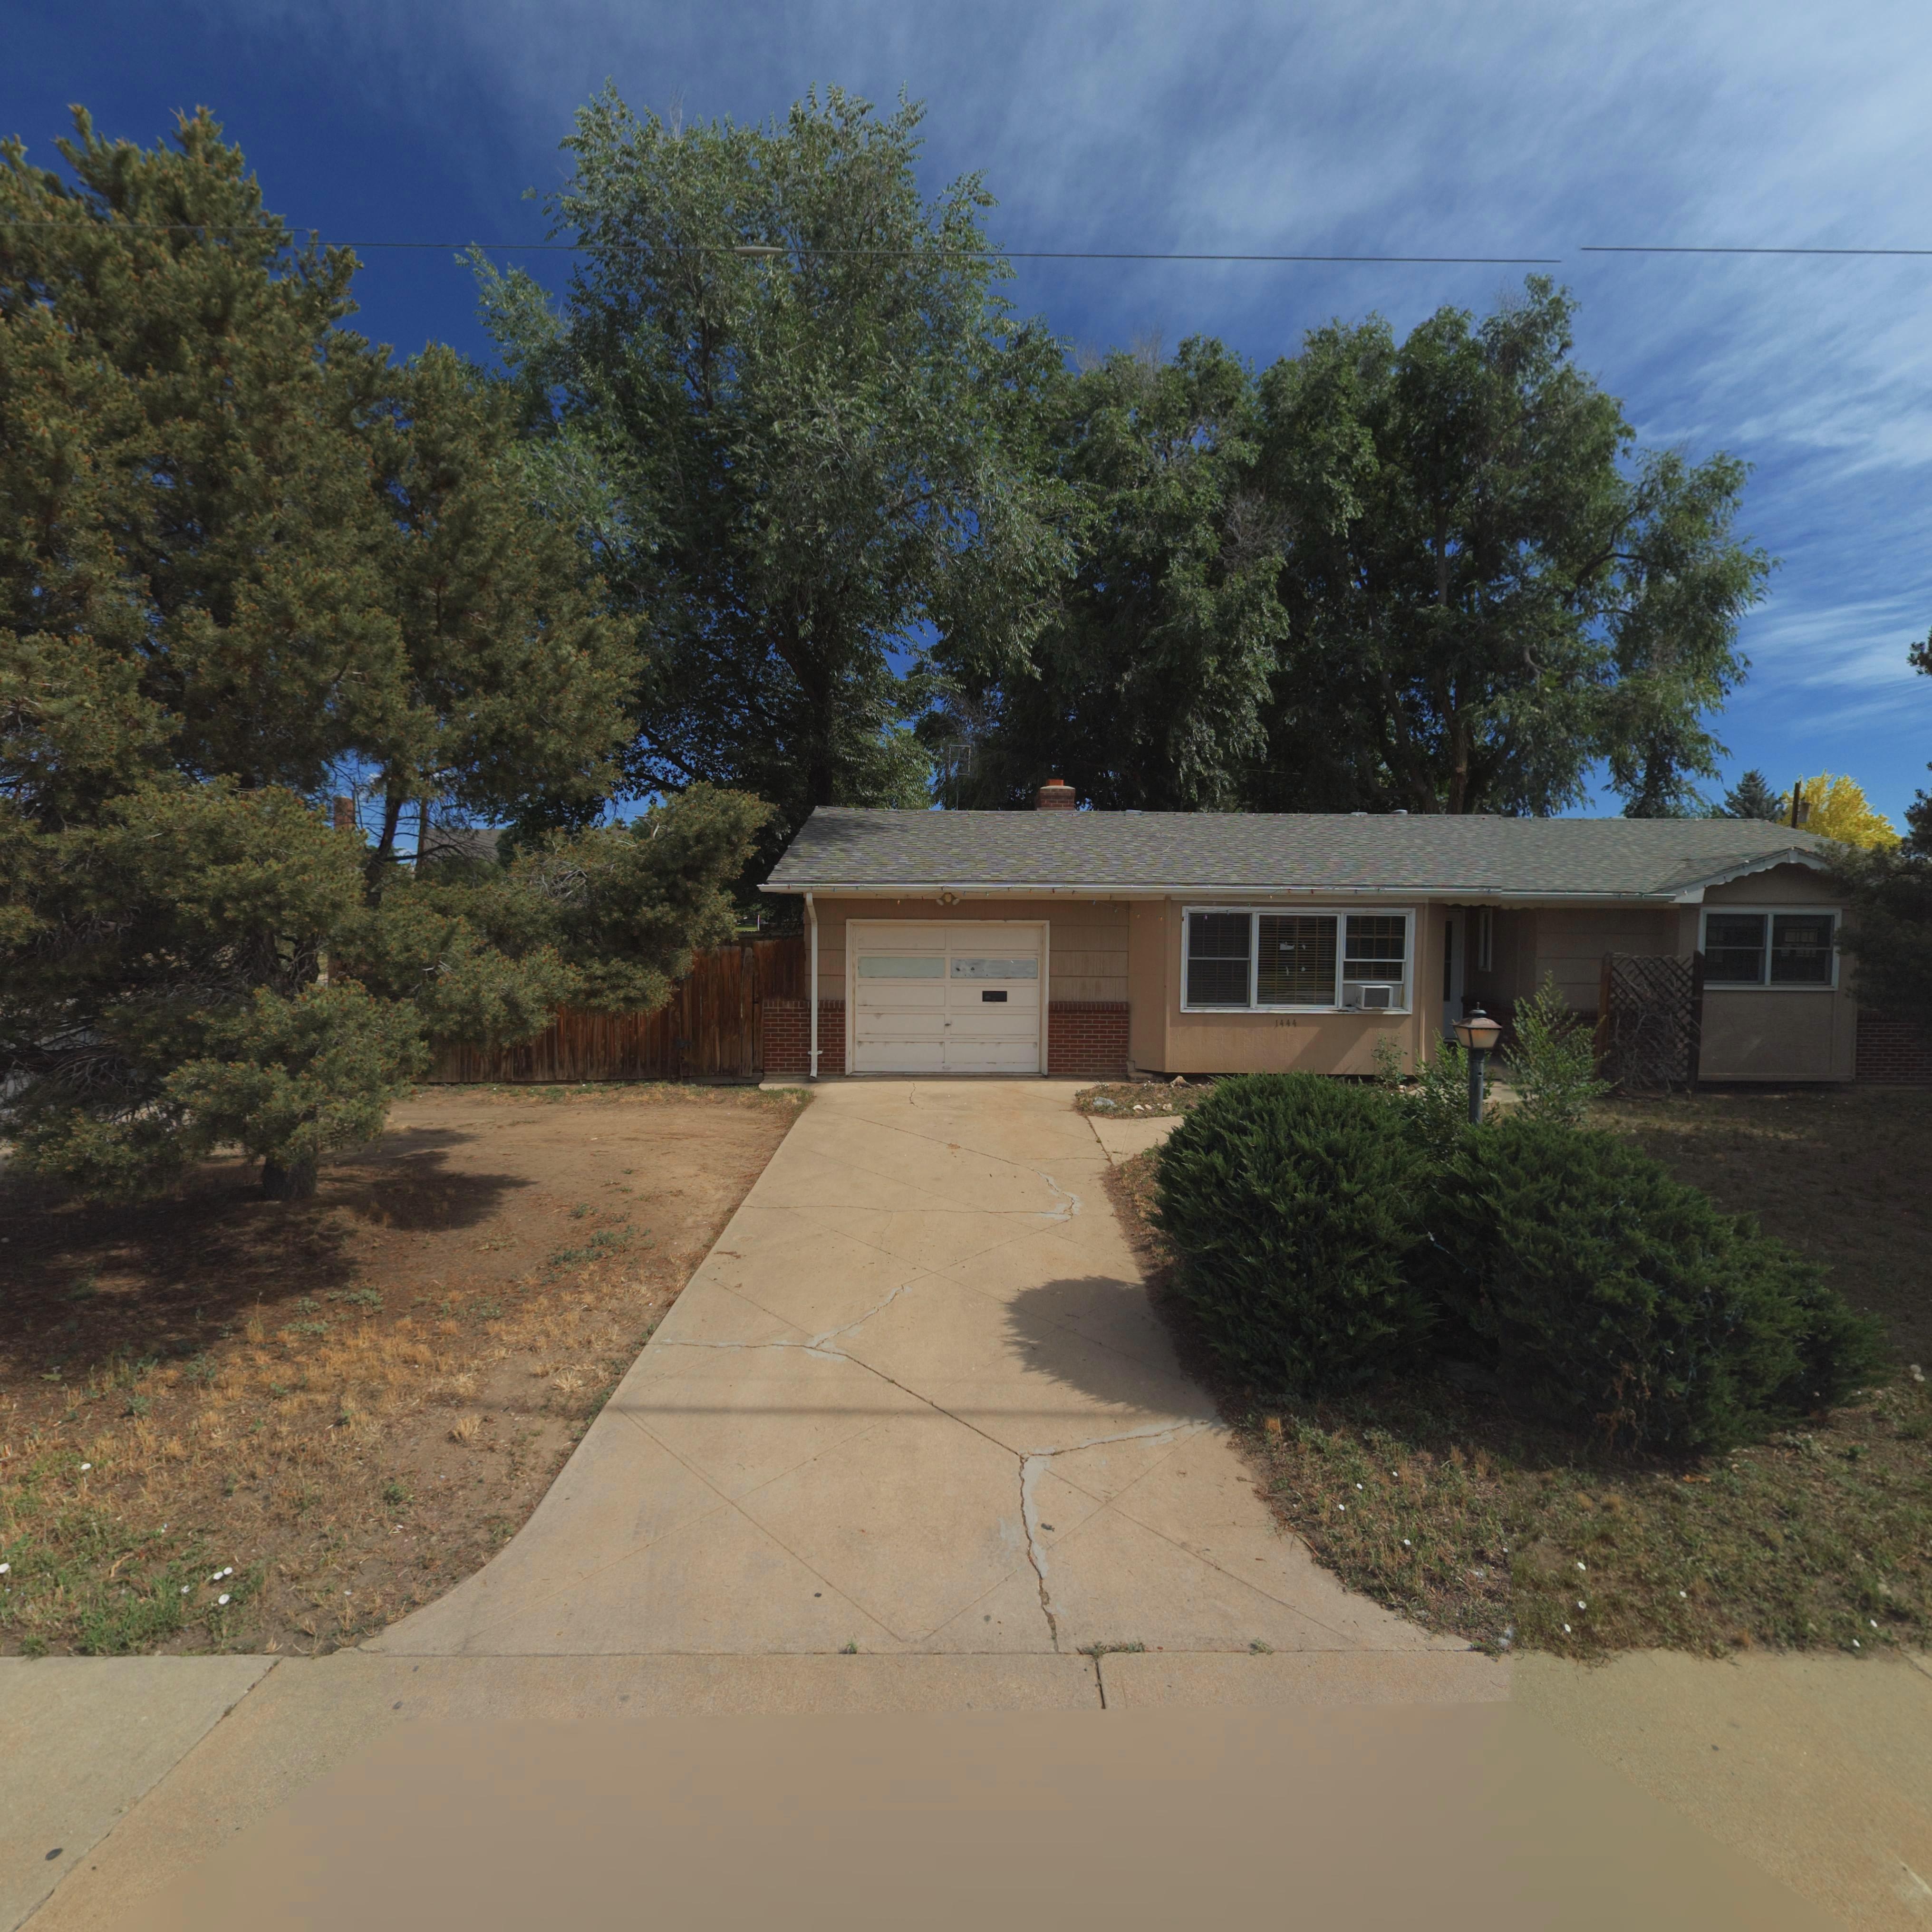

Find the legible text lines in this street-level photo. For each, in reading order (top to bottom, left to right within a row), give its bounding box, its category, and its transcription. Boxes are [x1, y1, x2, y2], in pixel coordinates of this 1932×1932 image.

[1275, 1019, 1297, 1027] StreetNumber: 1444